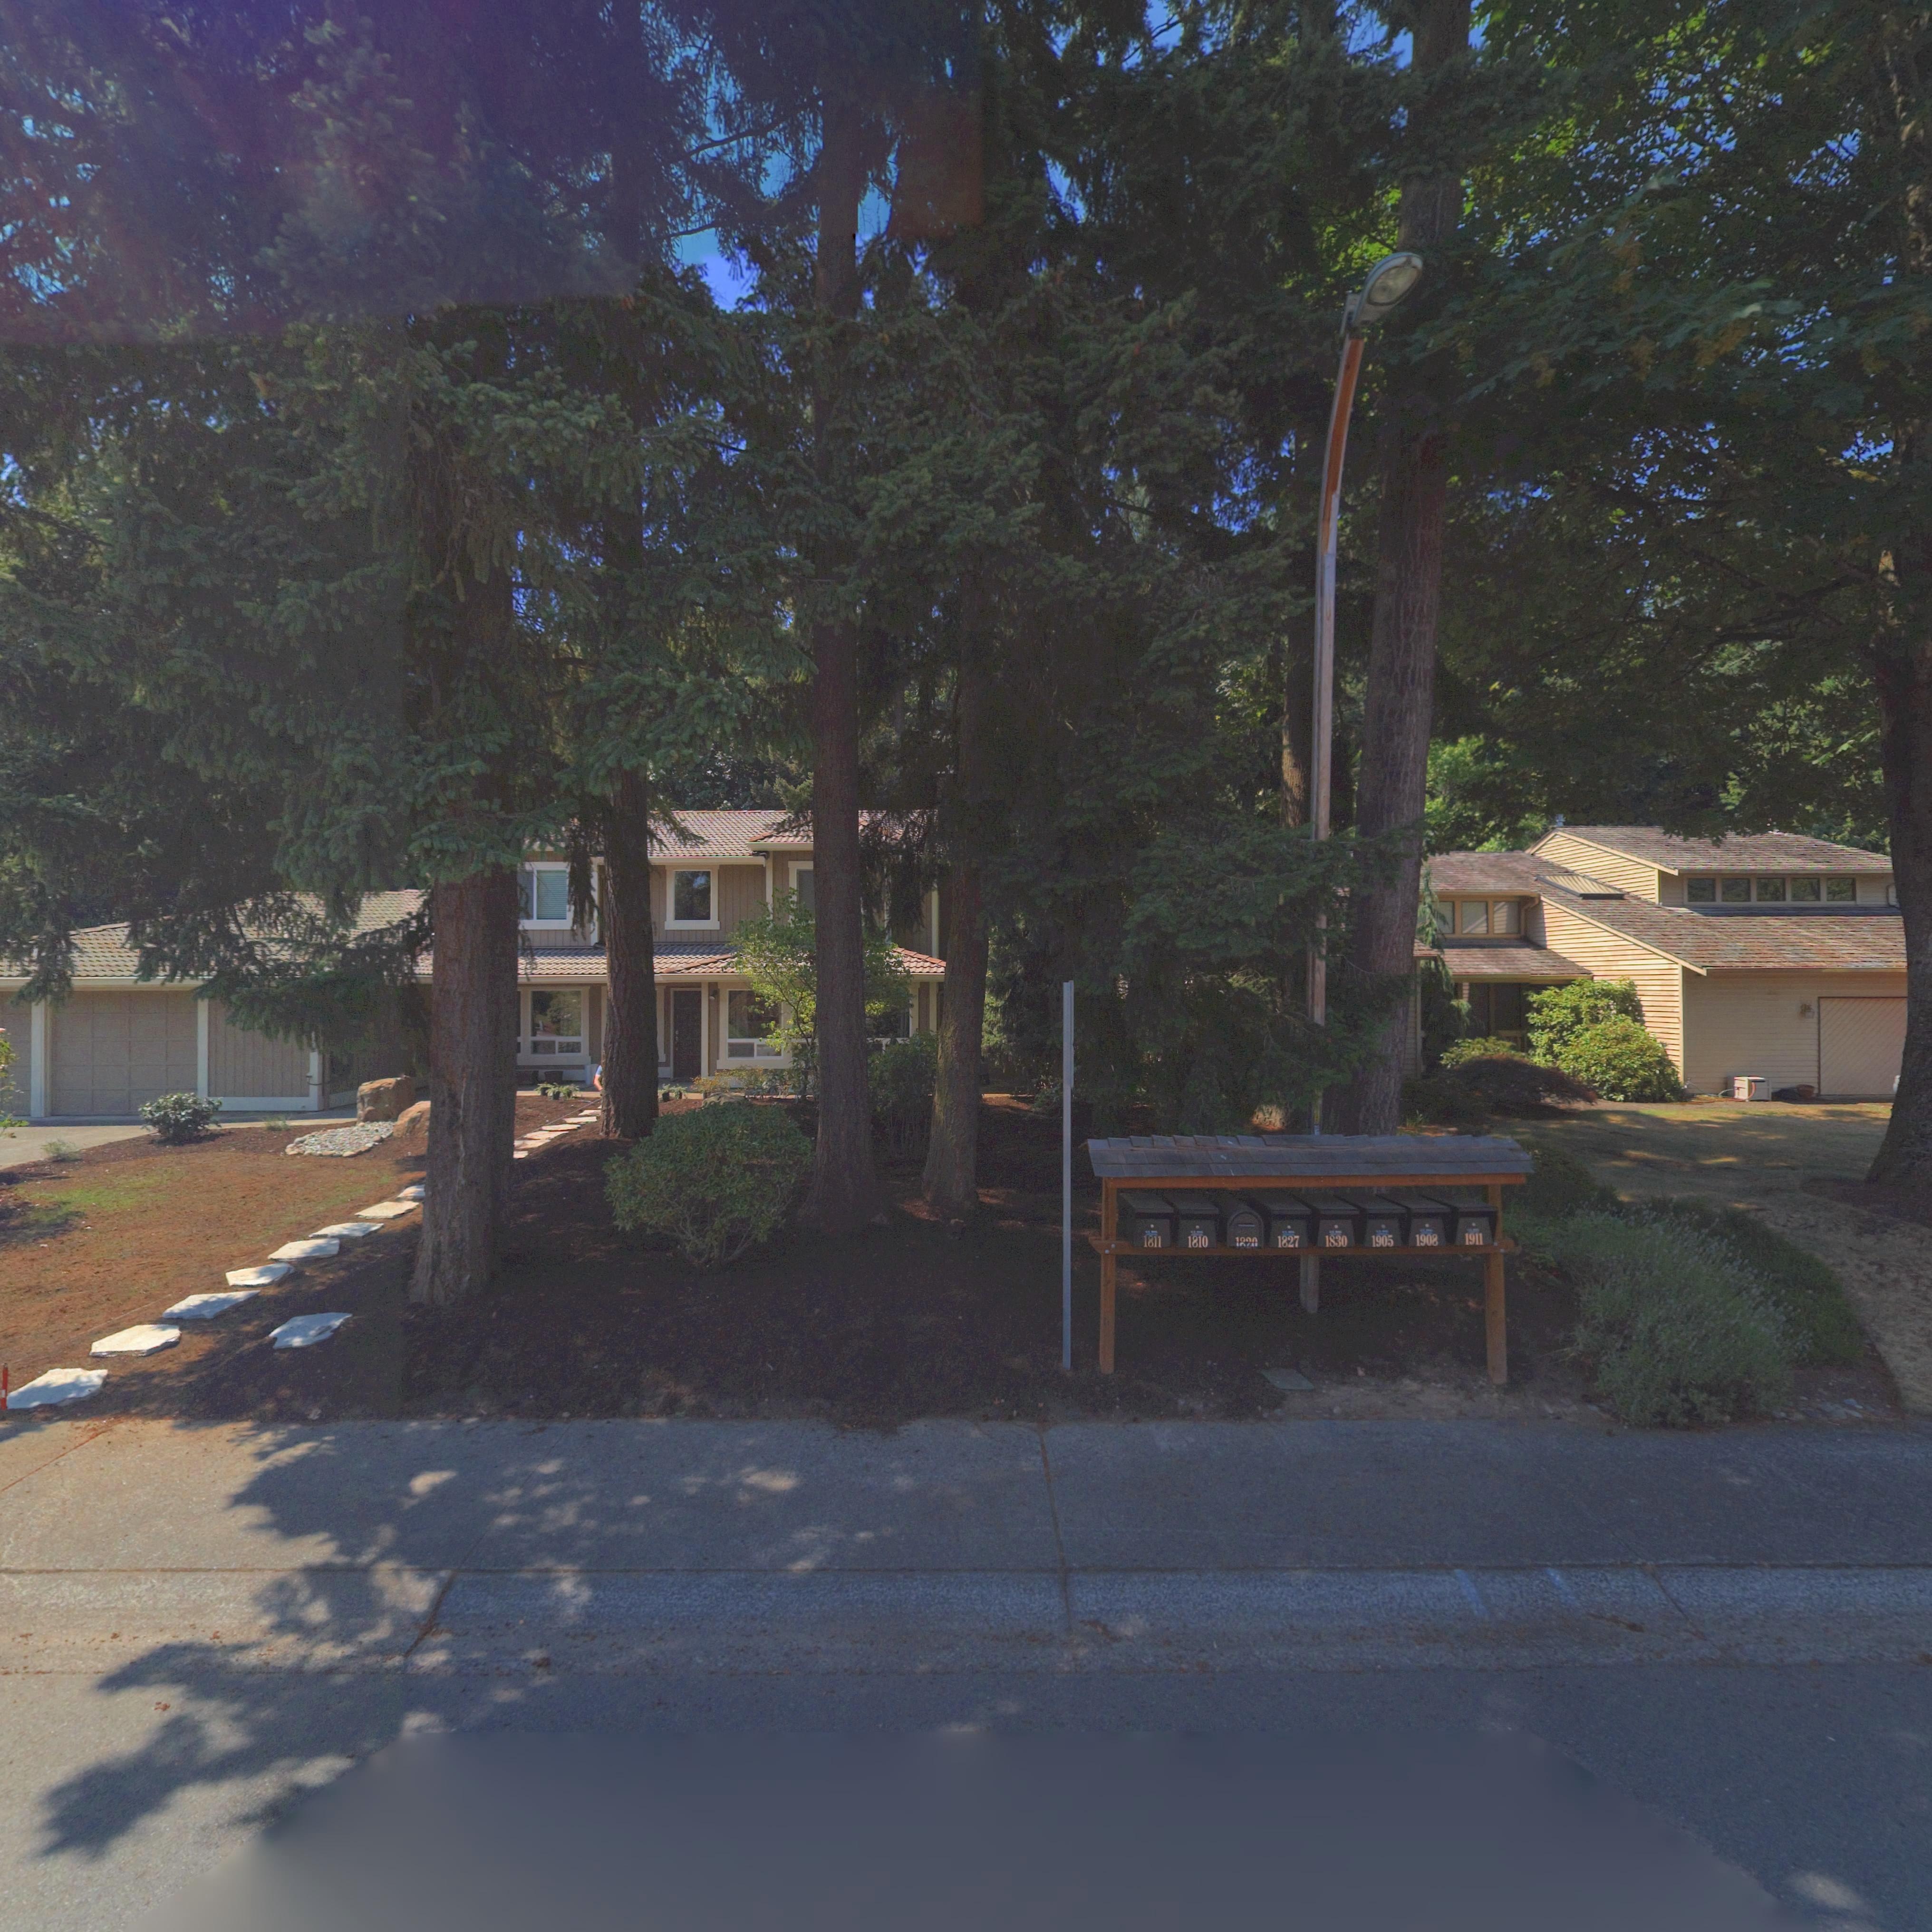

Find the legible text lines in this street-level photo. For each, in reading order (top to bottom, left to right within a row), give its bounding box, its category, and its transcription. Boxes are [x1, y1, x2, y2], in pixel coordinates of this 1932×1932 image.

[1142, 1234, 1162, 1247] StreetNumber: 1811
[1188, 1235, 1208, 1248] StreetNumber: 1810
[1235, 1236, 1258, 1247] StreetNumber: 1820
[1277, 1235, 1299, 1247] StreetNumber: 1827
[1325, 1235, 1347, 1247] StreetNumber: 1830
[1372, 1234, 1393, 1246] StreetNumber: 1905
[1415, 1233, 1438, 1246] BusinessName: 1908
[1465, 1232, 1484, 1245] StreetNumber: 1911